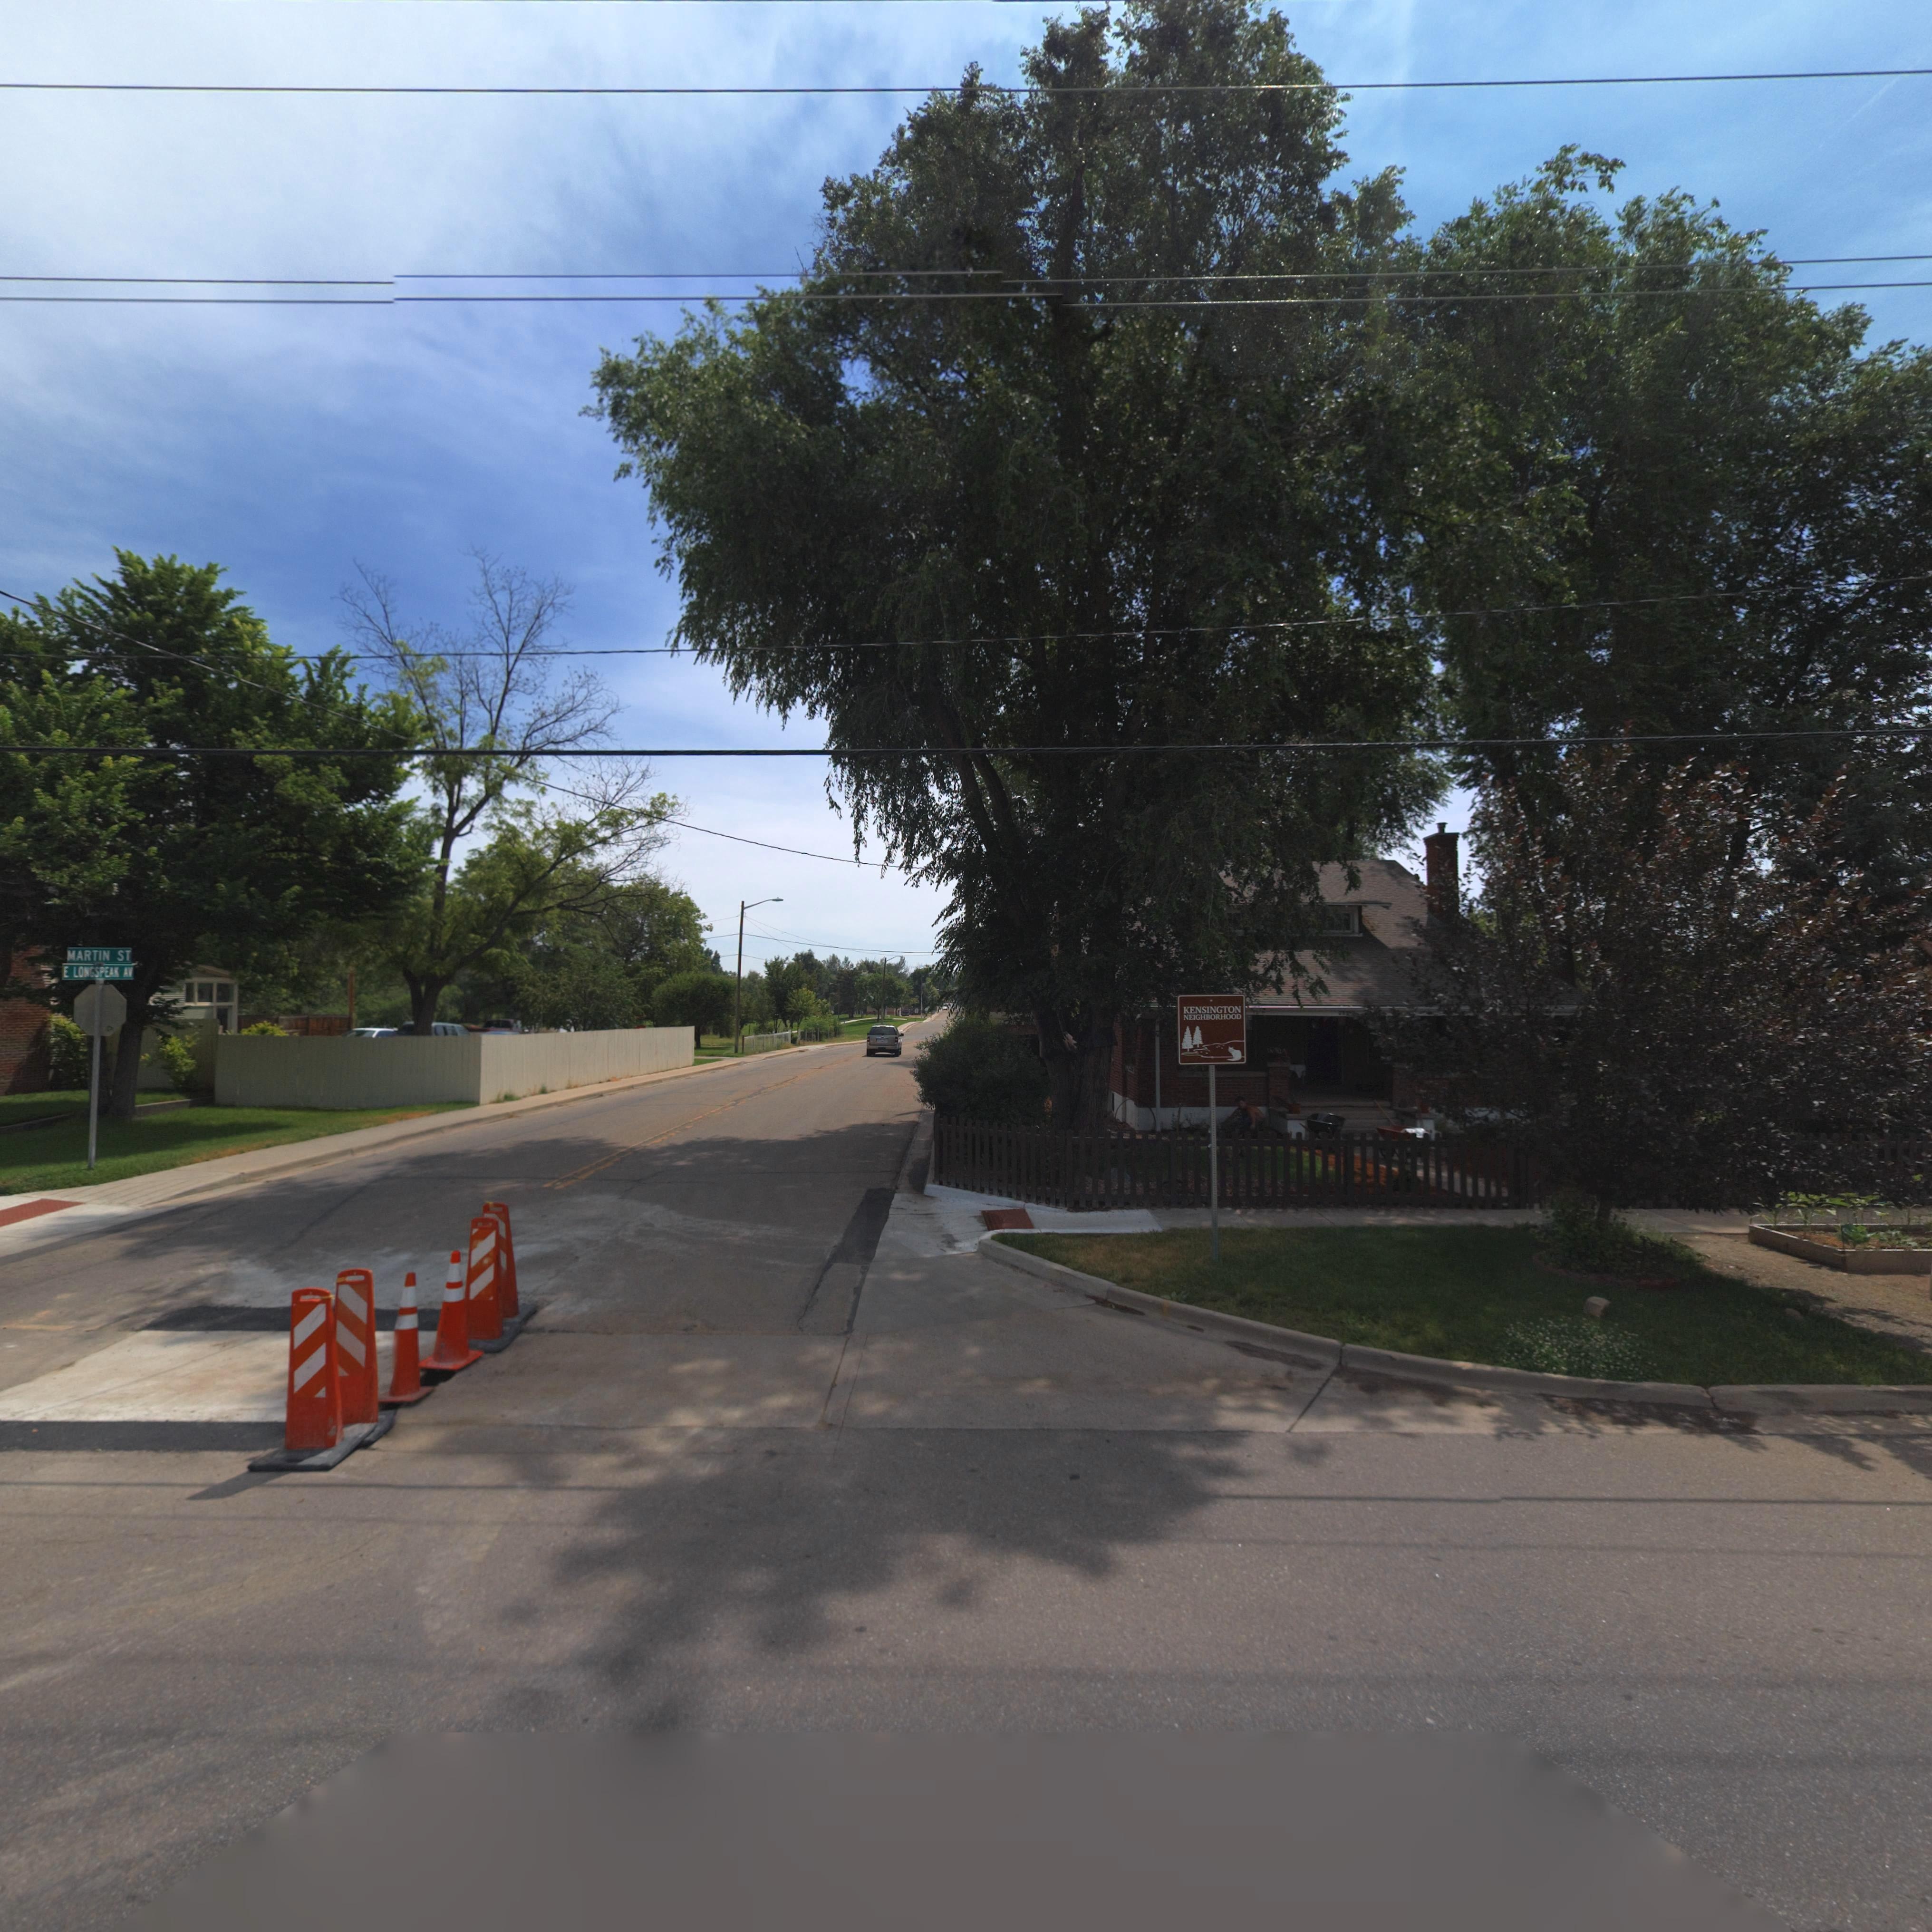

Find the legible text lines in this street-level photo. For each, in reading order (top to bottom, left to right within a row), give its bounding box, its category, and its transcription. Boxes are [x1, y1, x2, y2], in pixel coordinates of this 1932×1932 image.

[67, 950, 131, 961] StreetName: MARTIN ST
[63, 966, 133, 977] StreetName: E LONGSPEAK AV